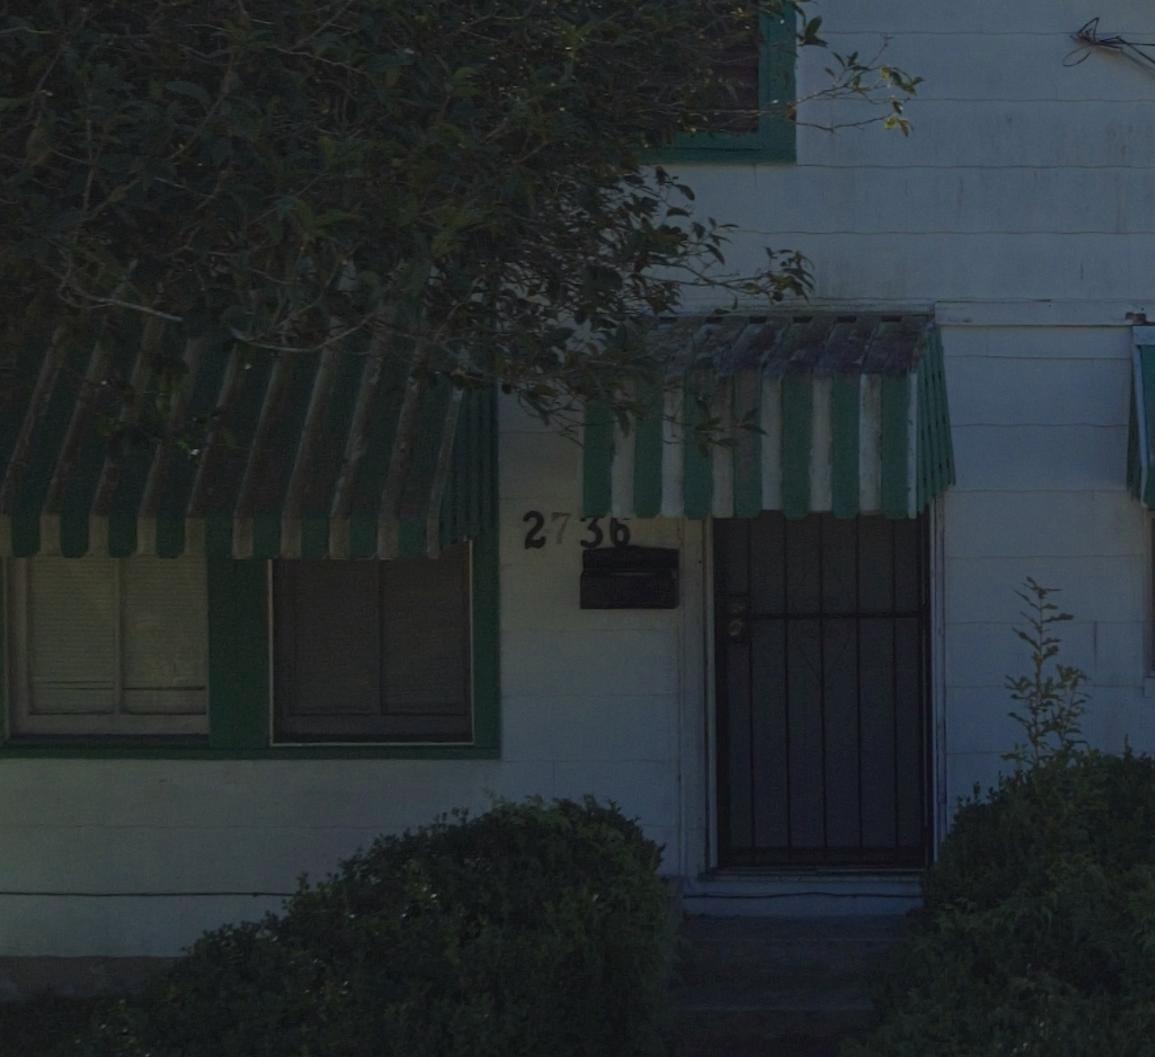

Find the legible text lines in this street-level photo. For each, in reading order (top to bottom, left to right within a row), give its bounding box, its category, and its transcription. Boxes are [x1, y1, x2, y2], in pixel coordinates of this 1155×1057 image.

[518, 506, 636, 553] StreetNumber: 2736